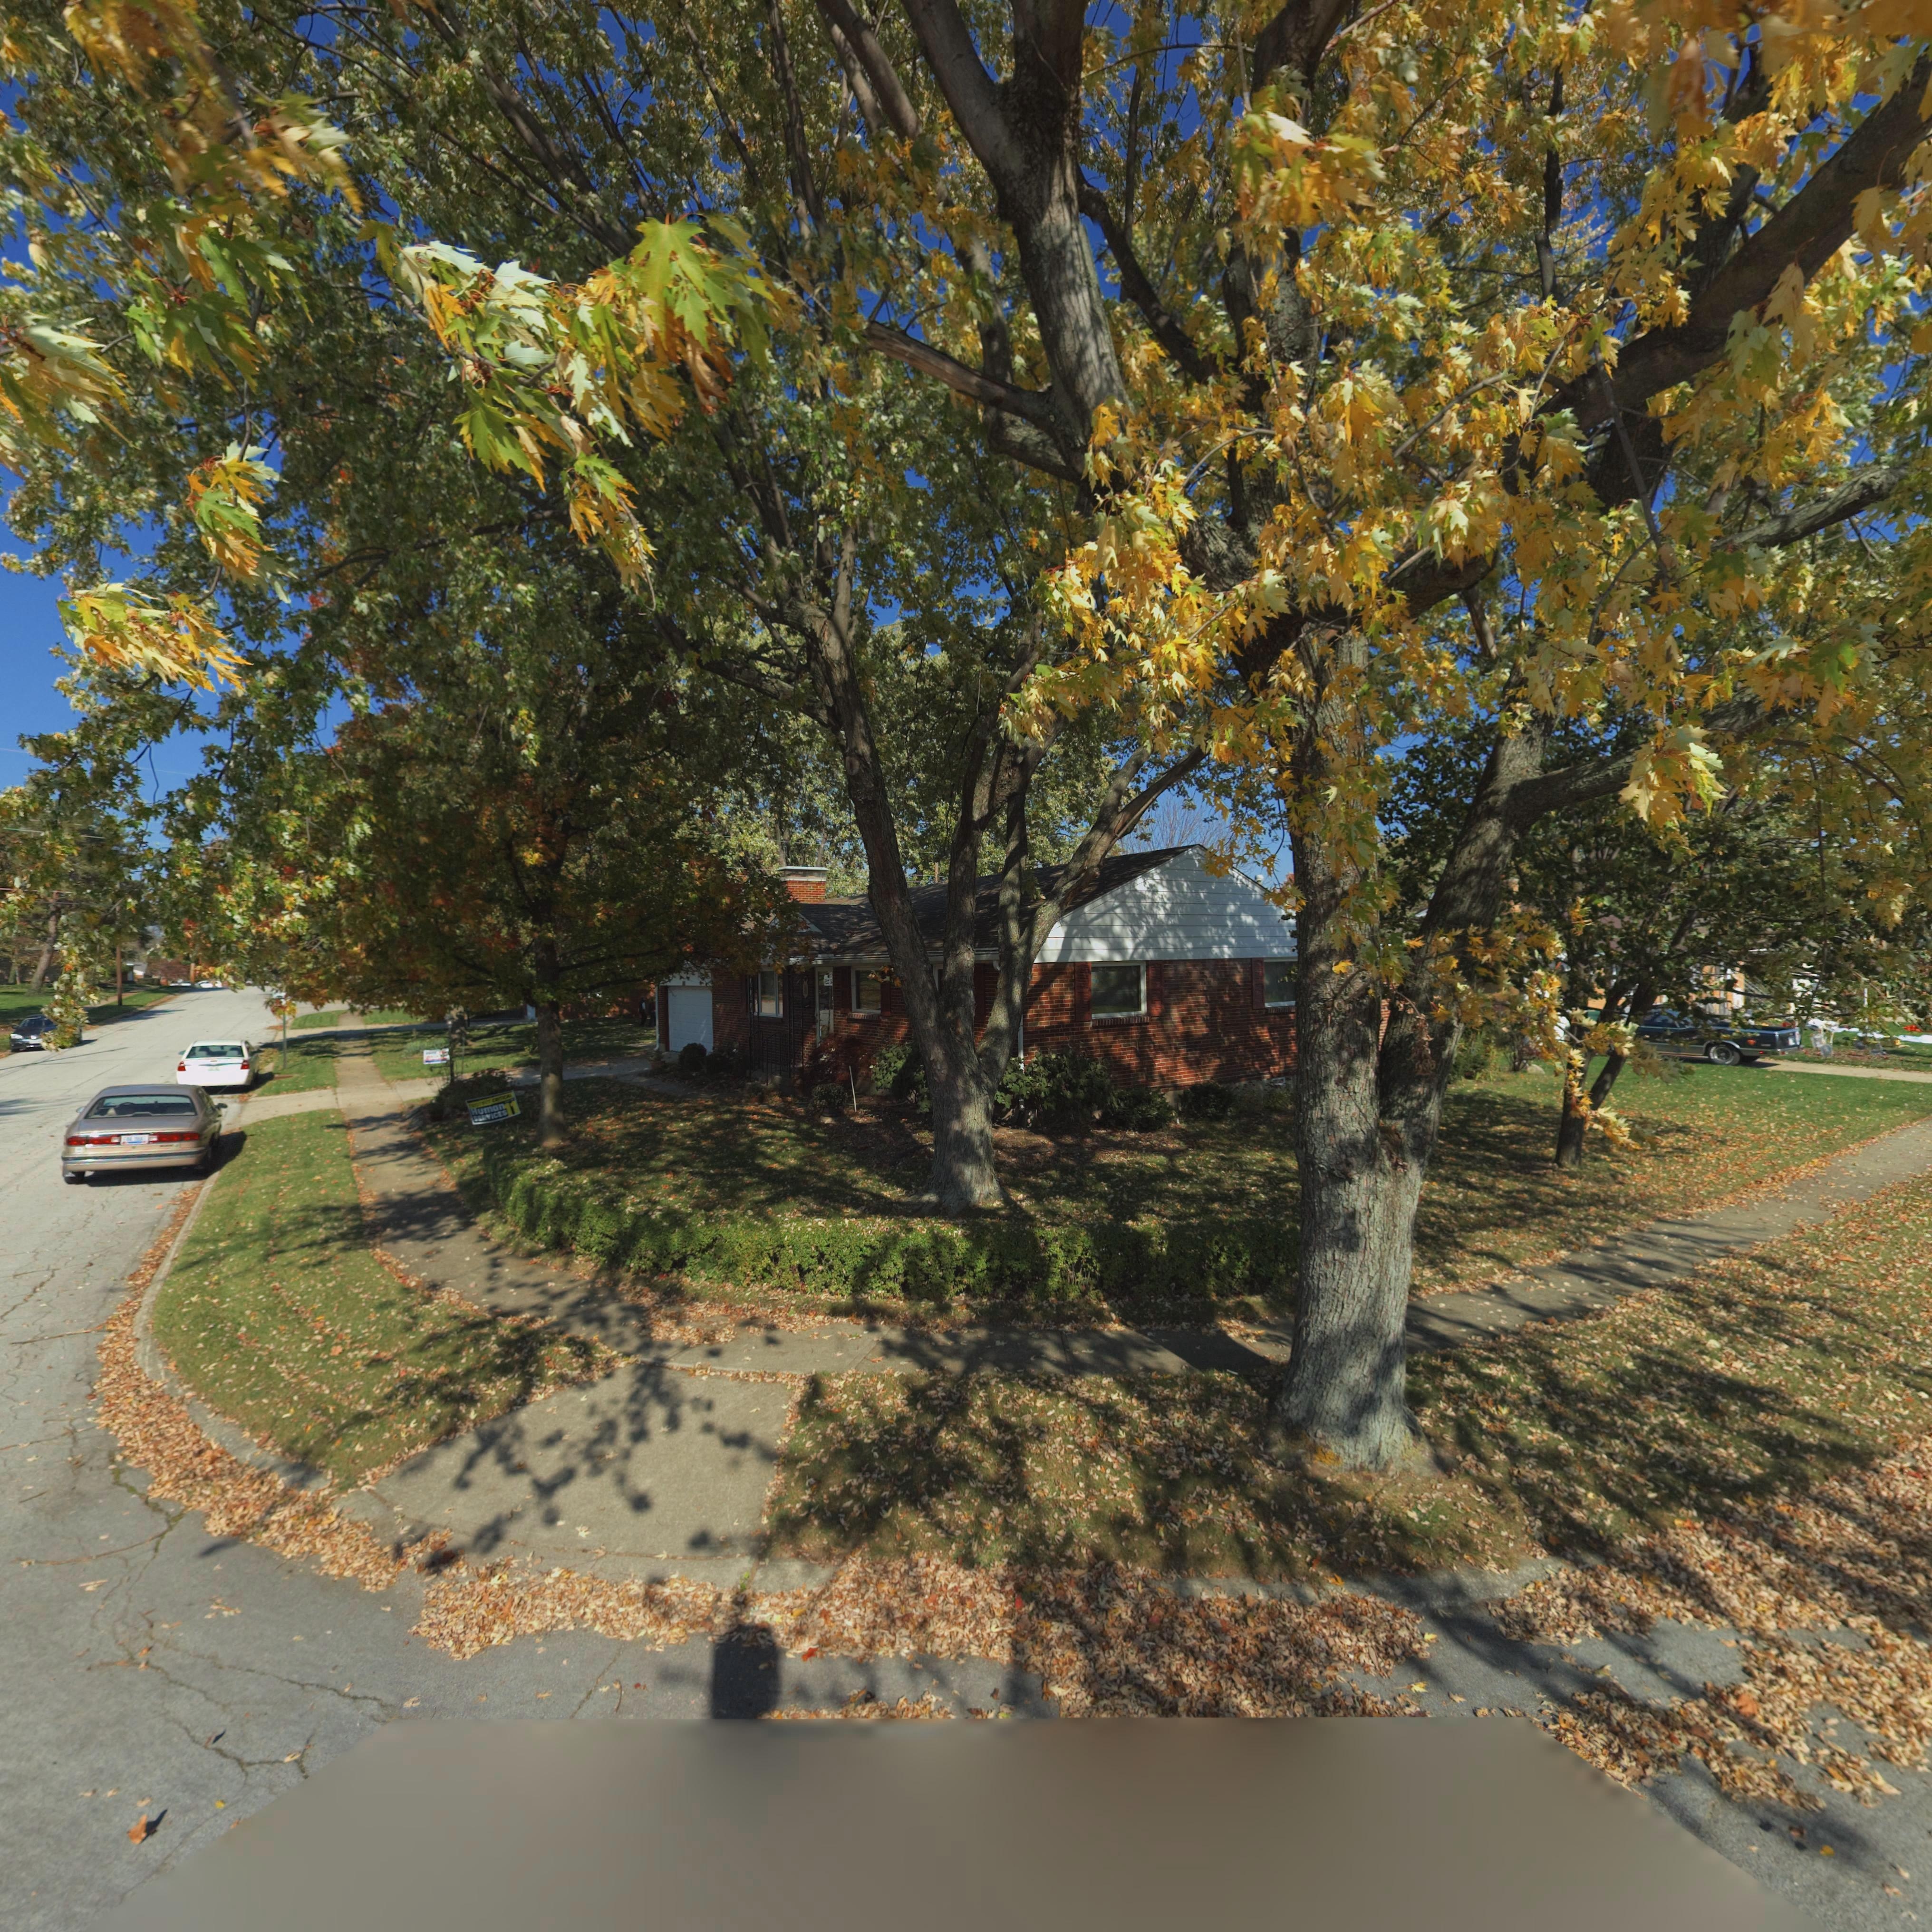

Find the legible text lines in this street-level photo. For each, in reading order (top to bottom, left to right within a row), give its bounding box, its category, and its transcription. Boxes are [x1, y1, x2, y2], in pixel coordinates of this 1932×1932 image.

[470, 1102, 507, 1116] None: Human
[472, 1109, 508, 1122] None: SERVICES
[468, 1092, 513, 1109] None: PROTECT CRITICAL
[504, 1099, 521, 1118] None: 11